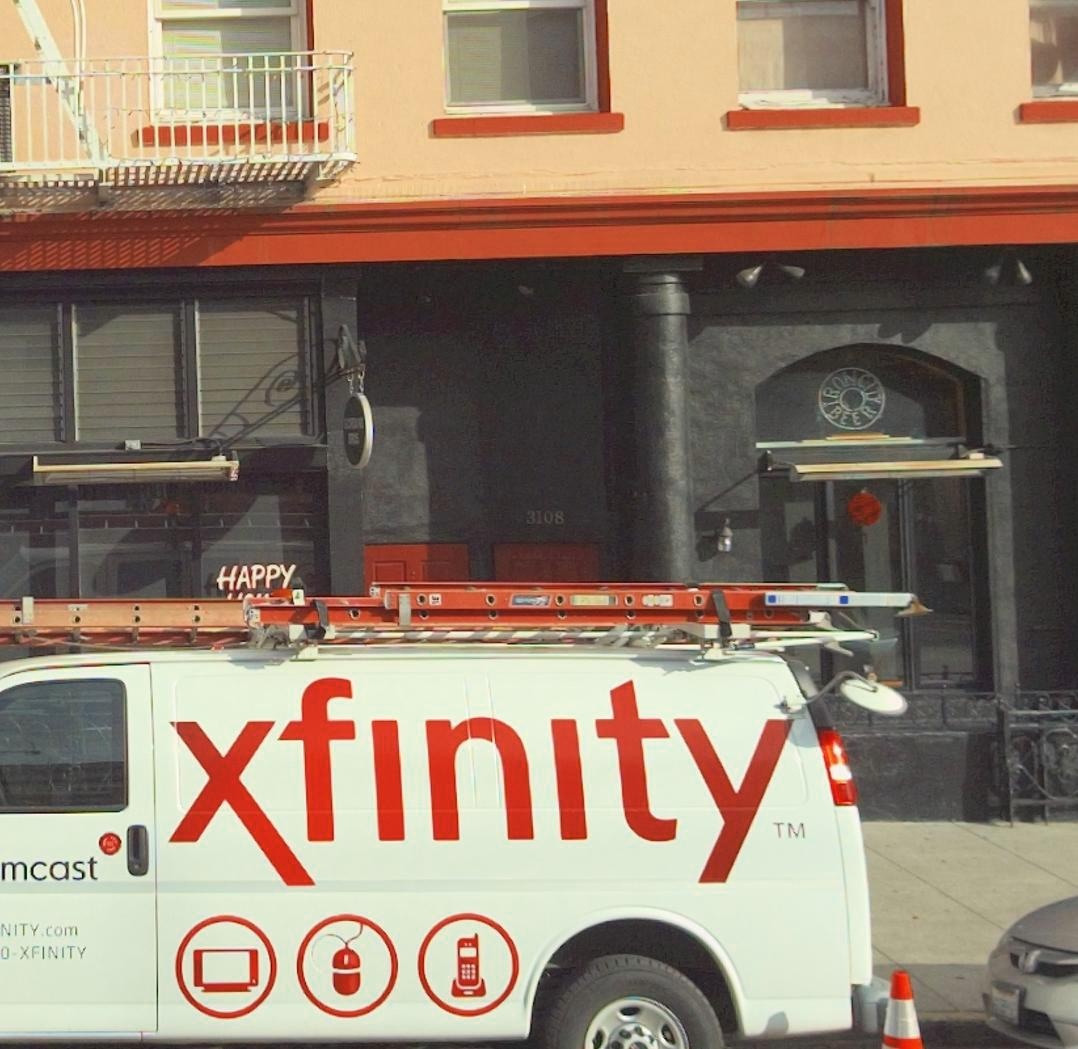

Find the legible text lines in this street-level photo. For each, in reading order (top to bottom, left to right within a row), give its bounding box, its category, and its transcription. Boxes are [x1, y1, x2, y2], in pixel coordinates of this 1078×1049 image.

[820, 369, 883, 407] None: IRONCITY
[826, 405, 880, 426] None: BEER
[525, 509, 564, 526] StreetNumber: 3108
[213, 562, 300, 594] None: HAPPY
[164, 677, 802, 888] None: xfinity
[772, 819, 810, 841] None: TM
[0, 854, 100, 884] None: mcast
[0, 920, 82, 938] None: NITY.com
[0, 944, 88, 962] None: O-XFINITY